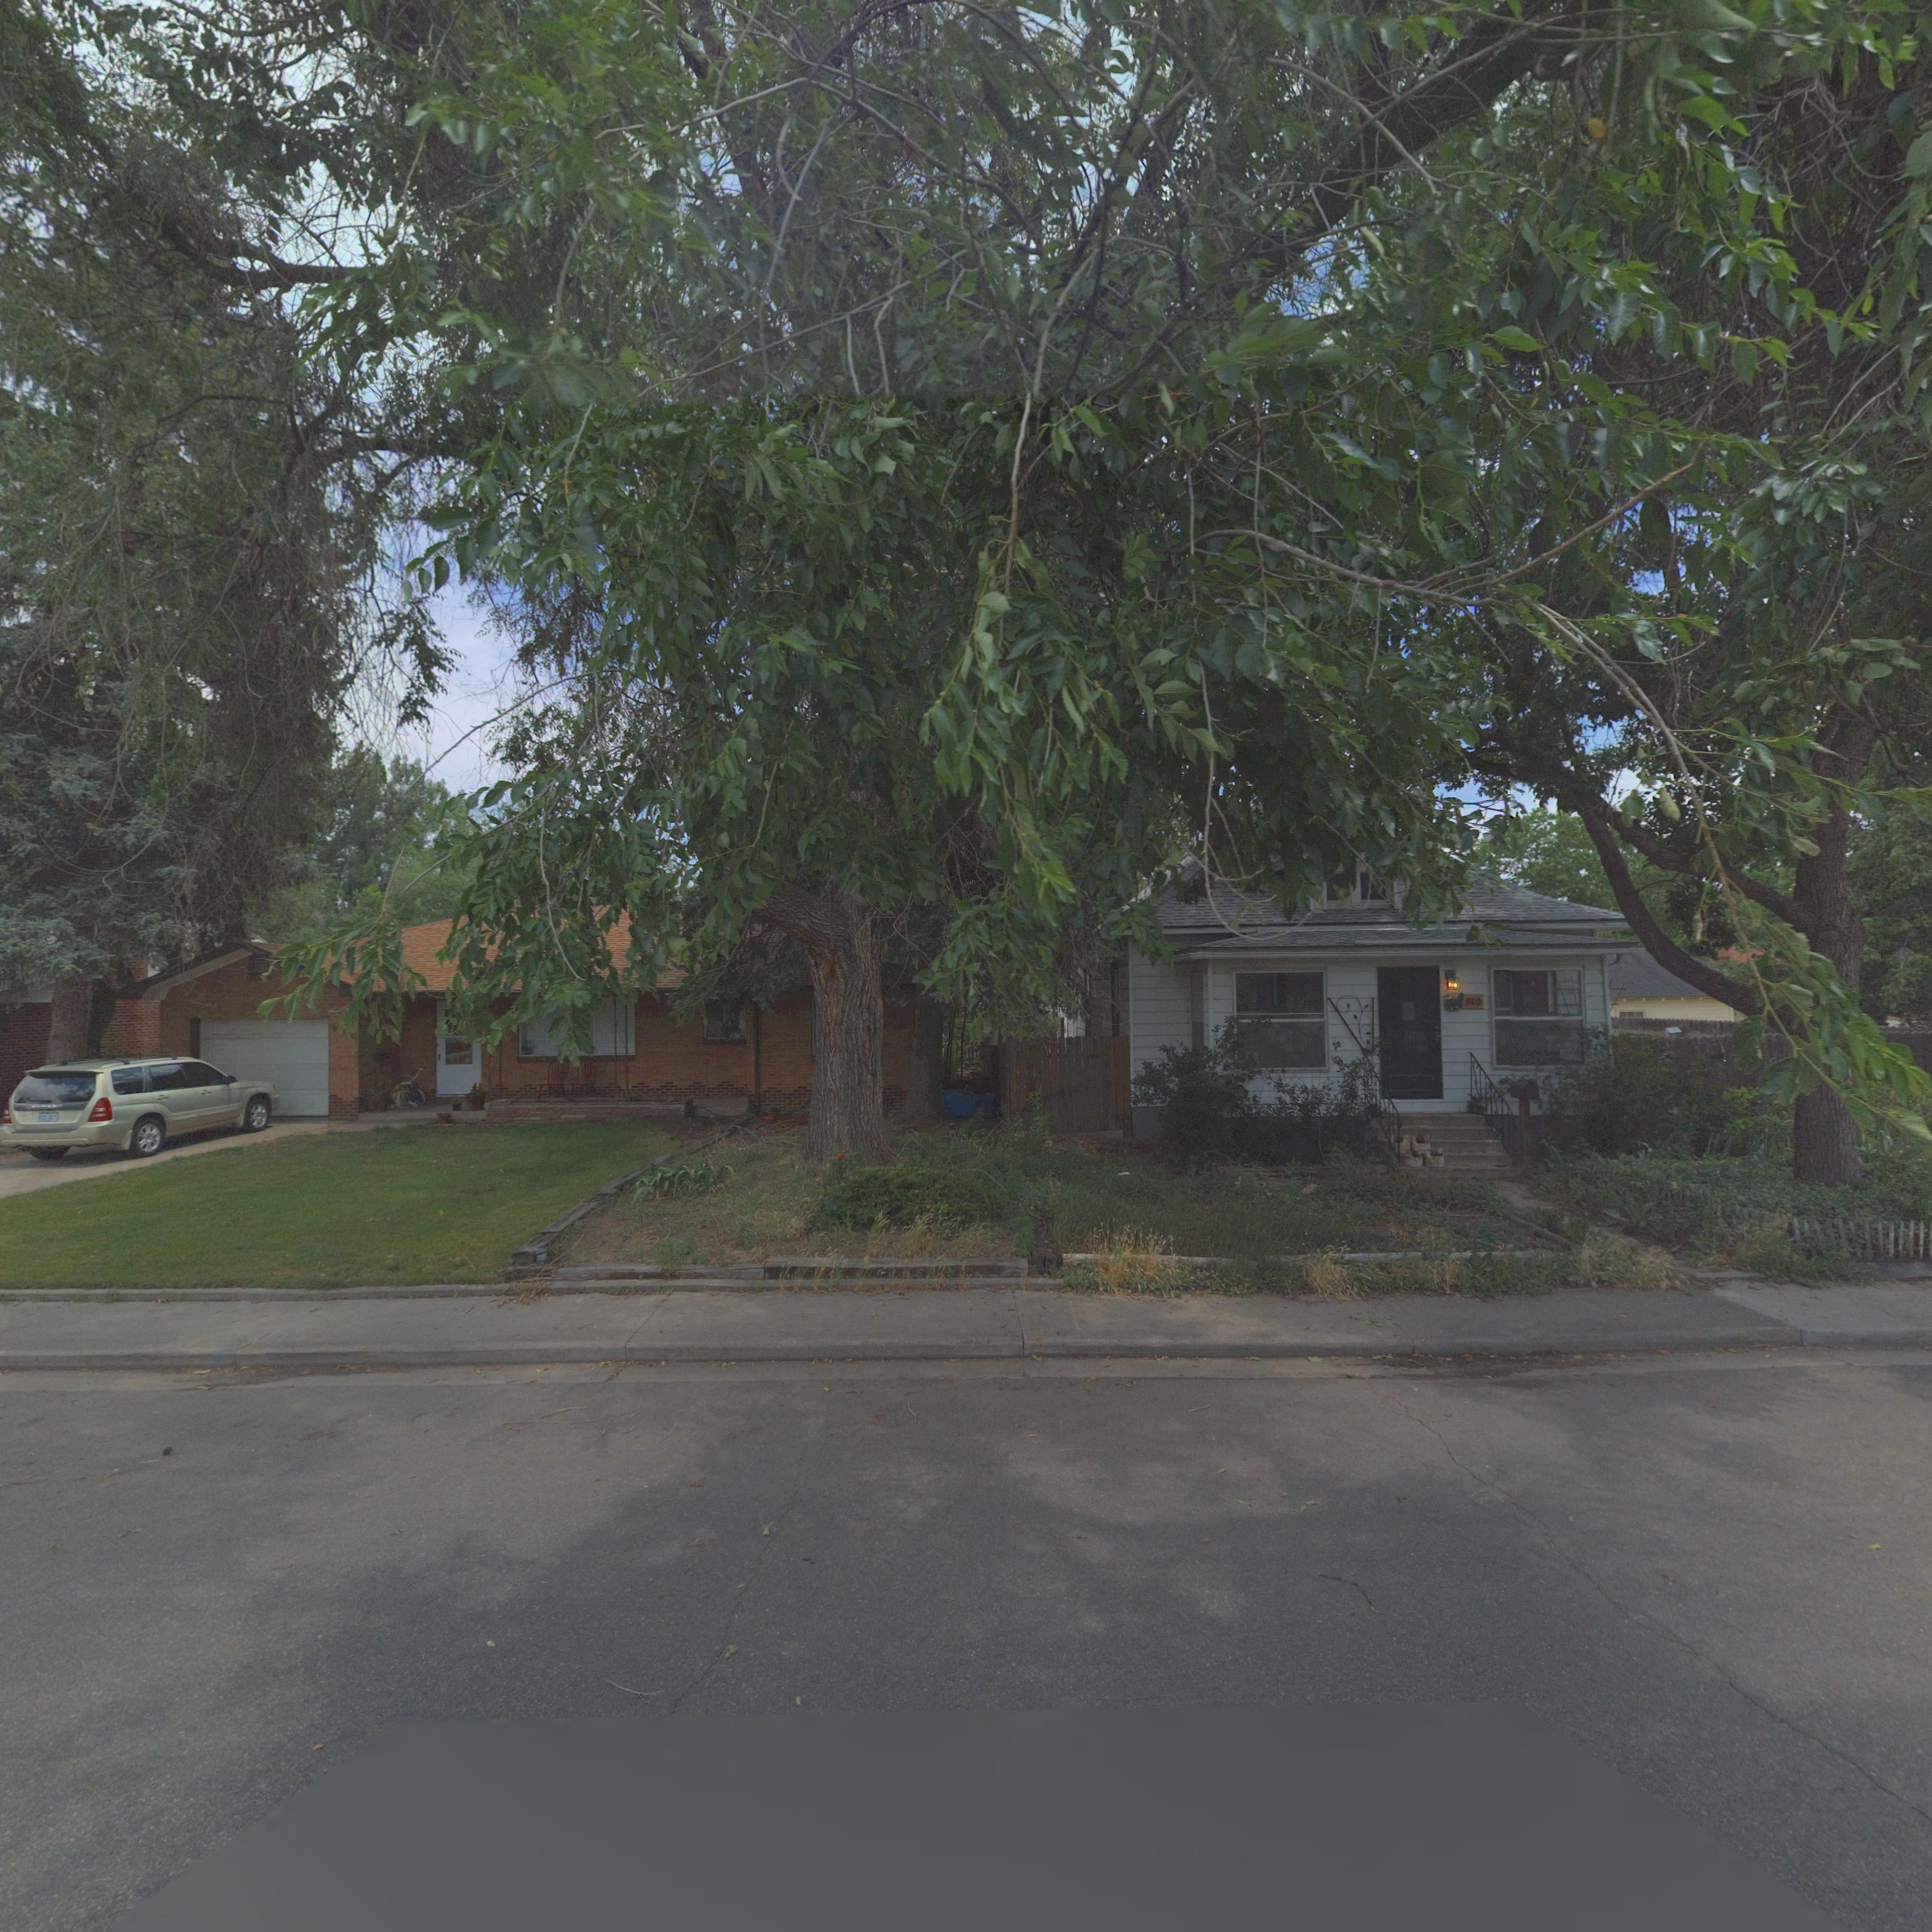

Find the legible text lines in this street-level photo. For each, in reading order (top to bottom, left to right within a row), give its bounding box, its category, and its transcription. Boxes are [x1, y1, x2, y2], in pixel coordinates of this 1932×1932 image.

[1463, 998, 1481, 1006] StreetNumber: 910
[329, 1022, 357, 1042] StreetNumber: 91*